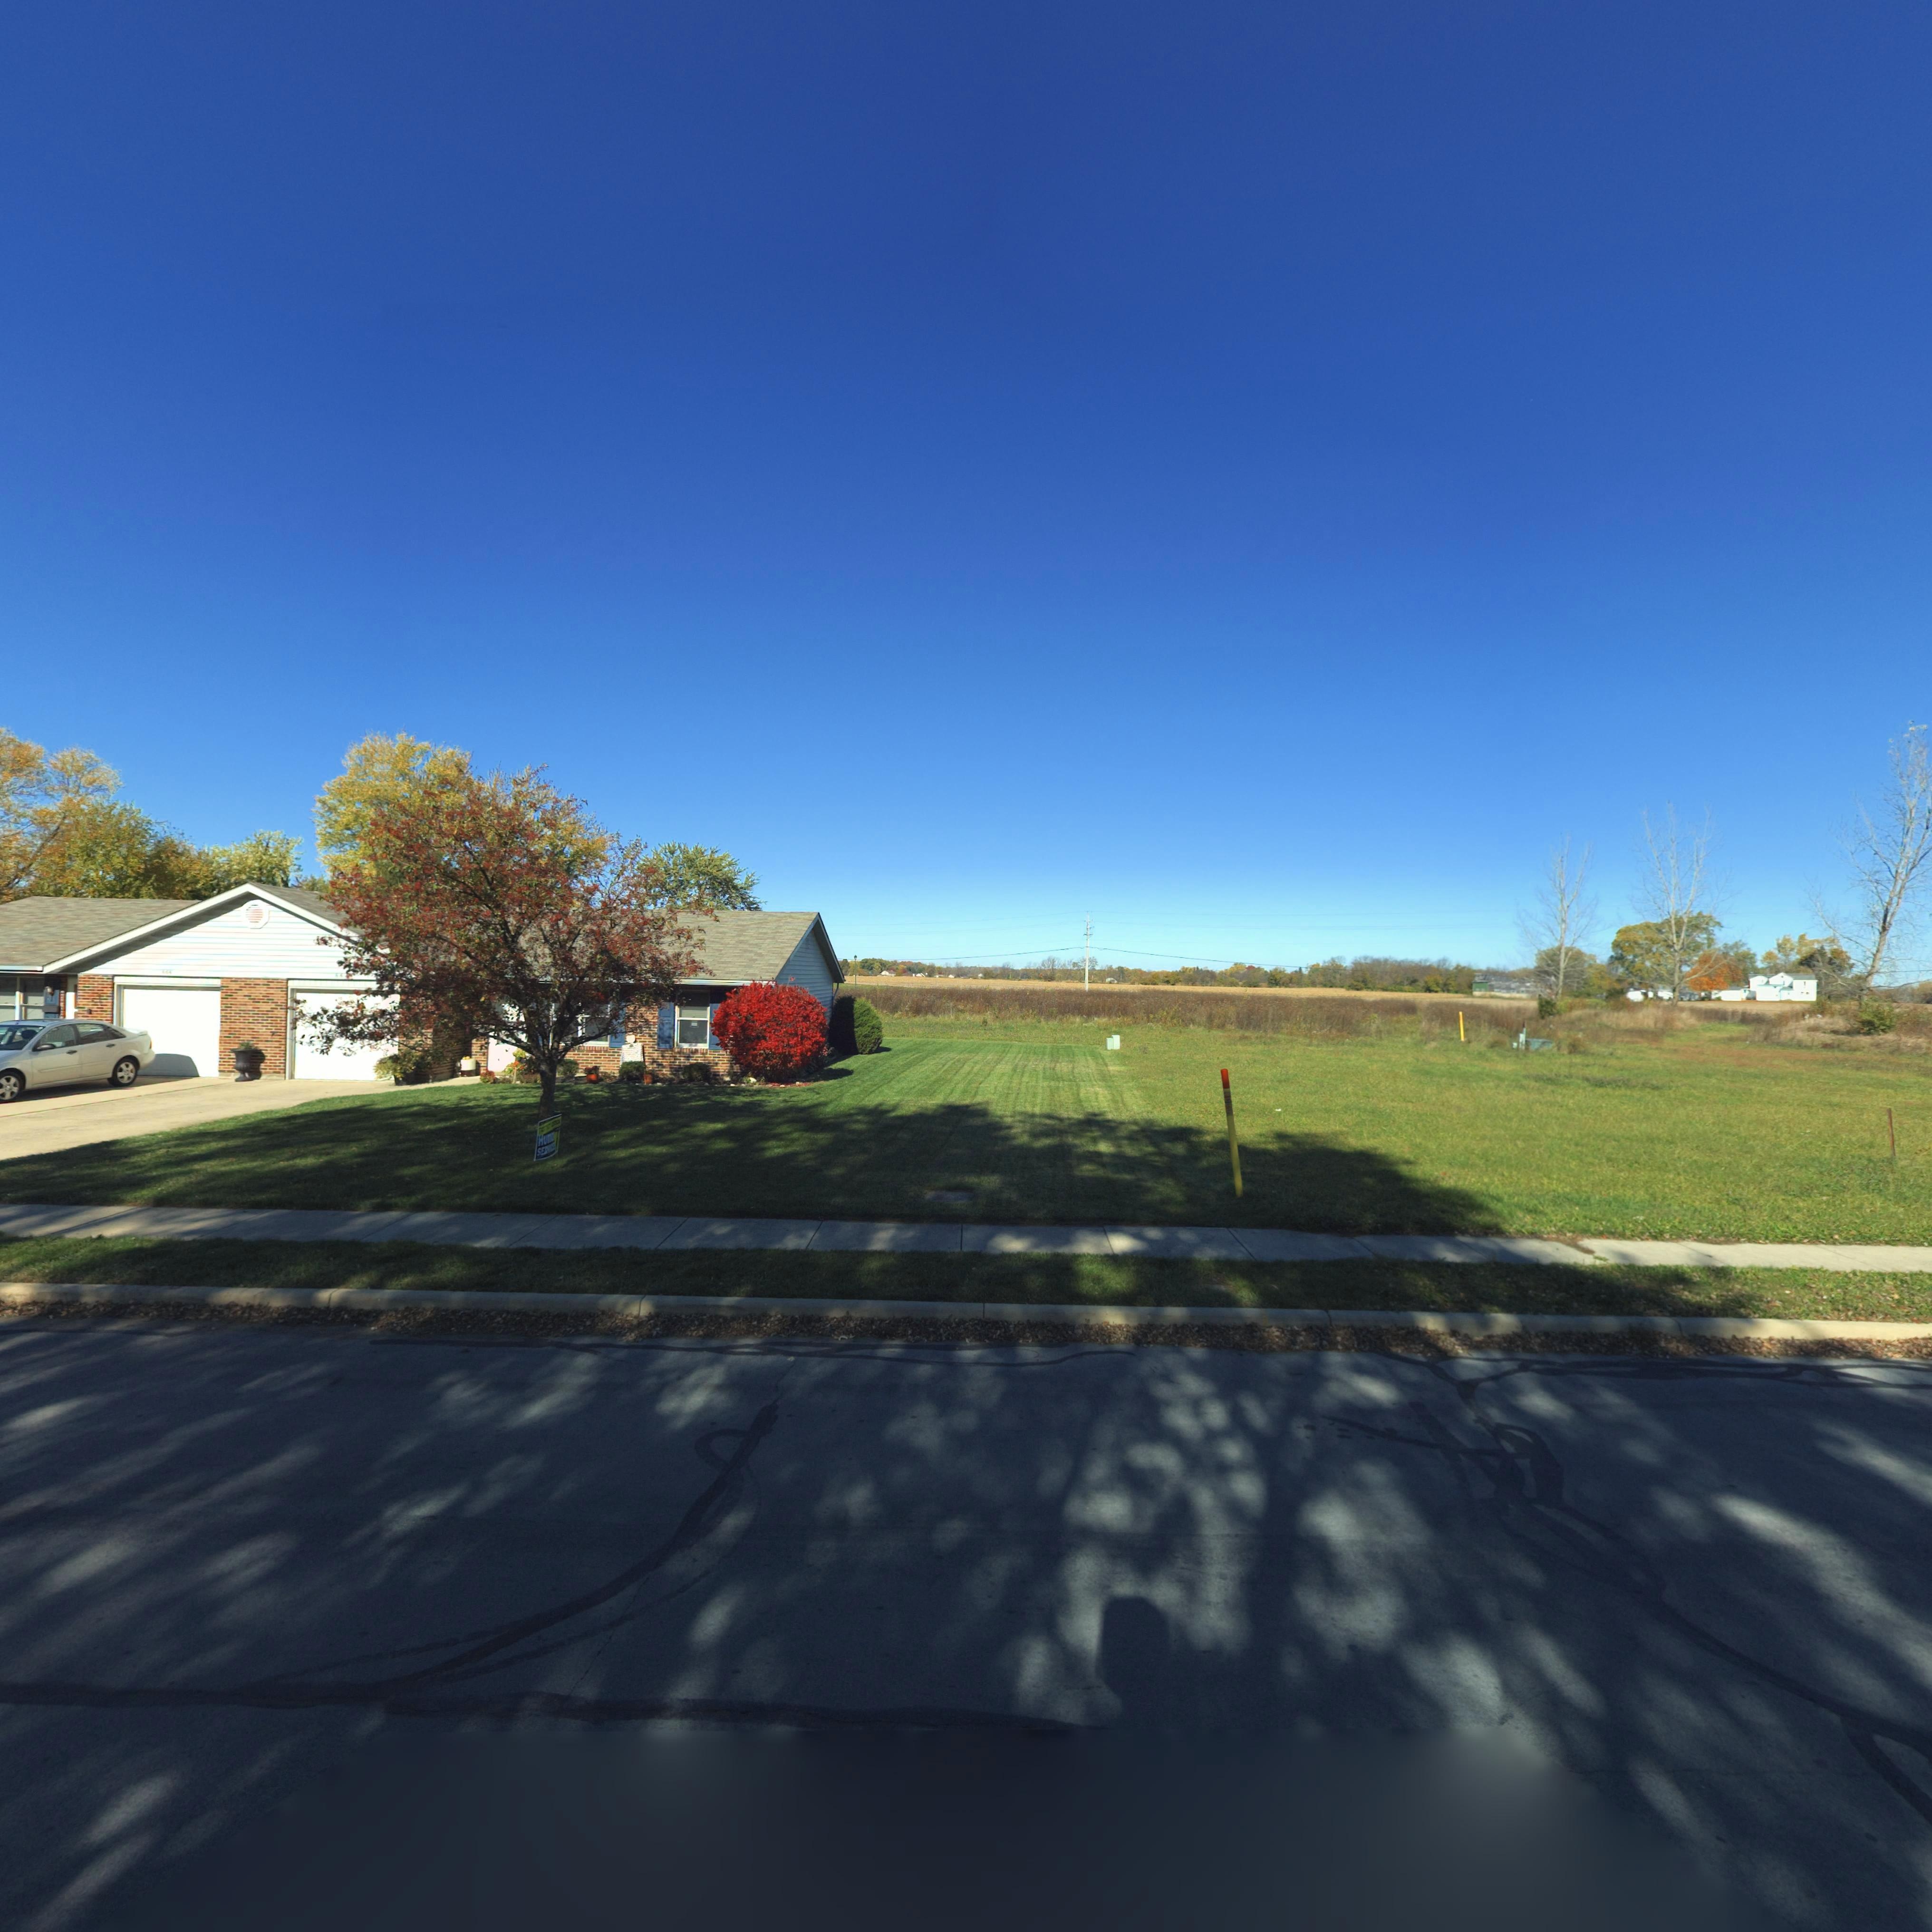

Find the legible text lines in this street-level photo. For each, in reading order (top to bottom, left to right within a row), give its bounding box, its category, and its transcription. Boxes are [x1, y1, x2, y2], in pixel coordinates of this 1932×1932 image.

[335, 972, 343, 978] StreetNumber: 6
[537, 1133, 548, 1149] None: Hu
[536, 1145, 550, 1158] None: SER